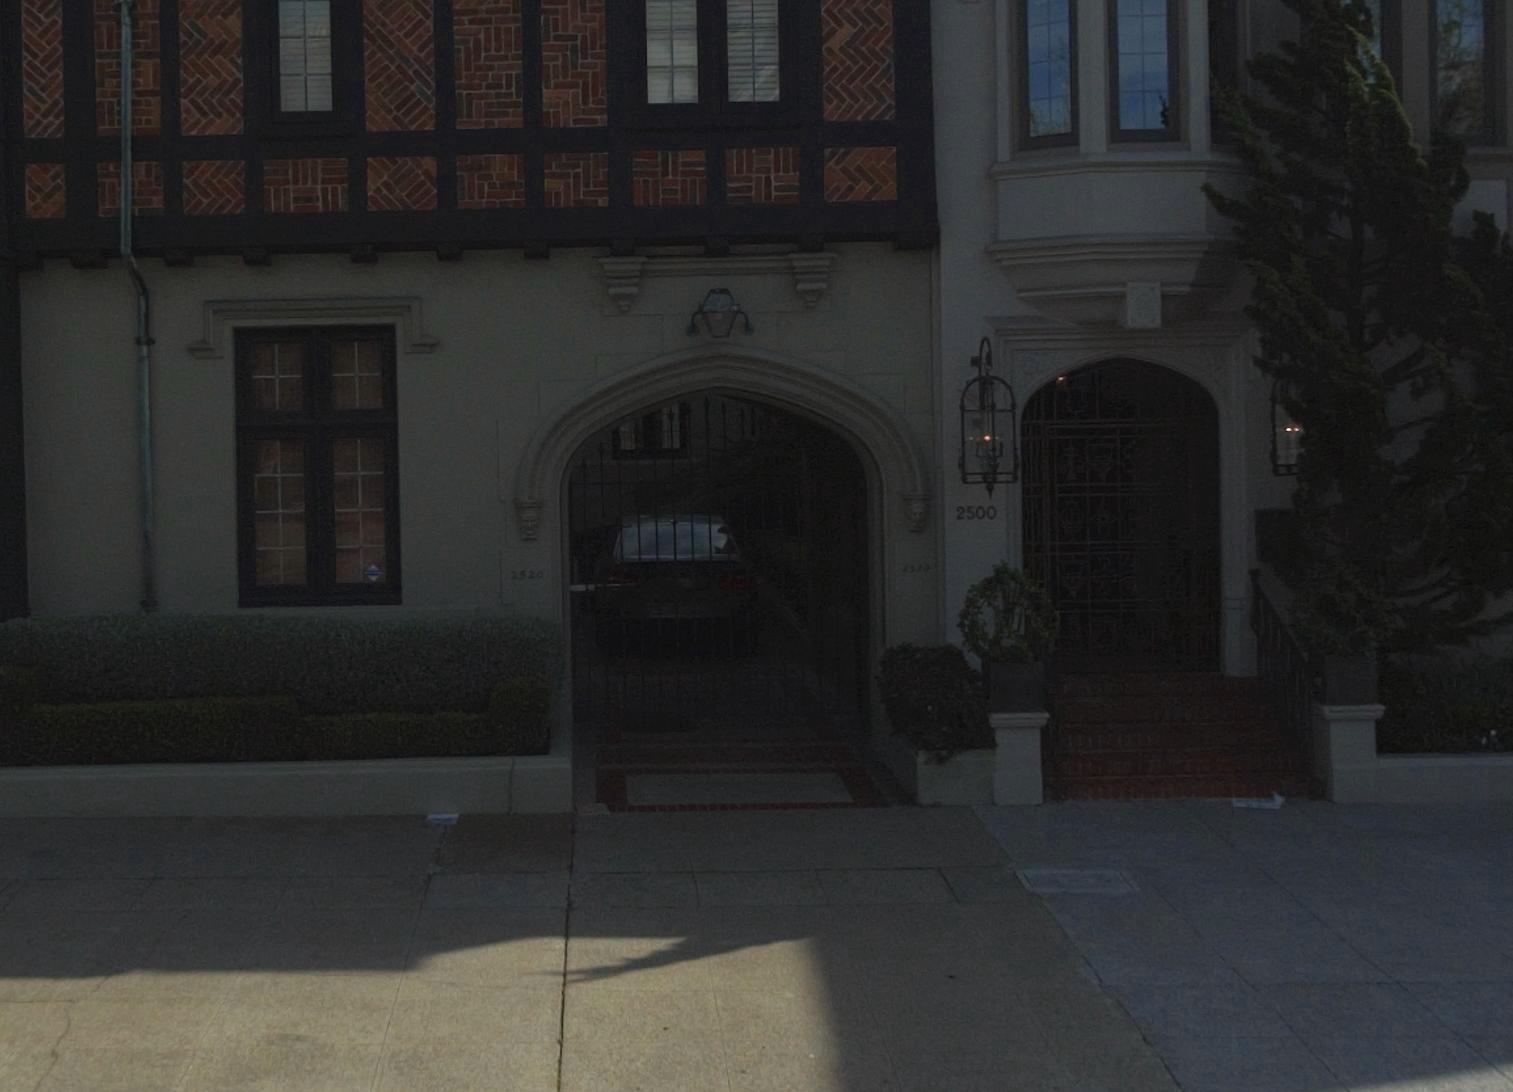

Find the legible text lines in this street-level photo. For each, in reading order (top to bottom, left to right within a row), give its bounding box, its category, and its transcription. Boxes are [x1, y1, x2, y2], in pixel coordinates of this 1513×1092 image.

[954, 503, 998, 522] StreetNumber: 2500
[509, 568, 546, 581] StreetNumber: 2520
[899, 562, 934, 576] StreetNumber: 25*0